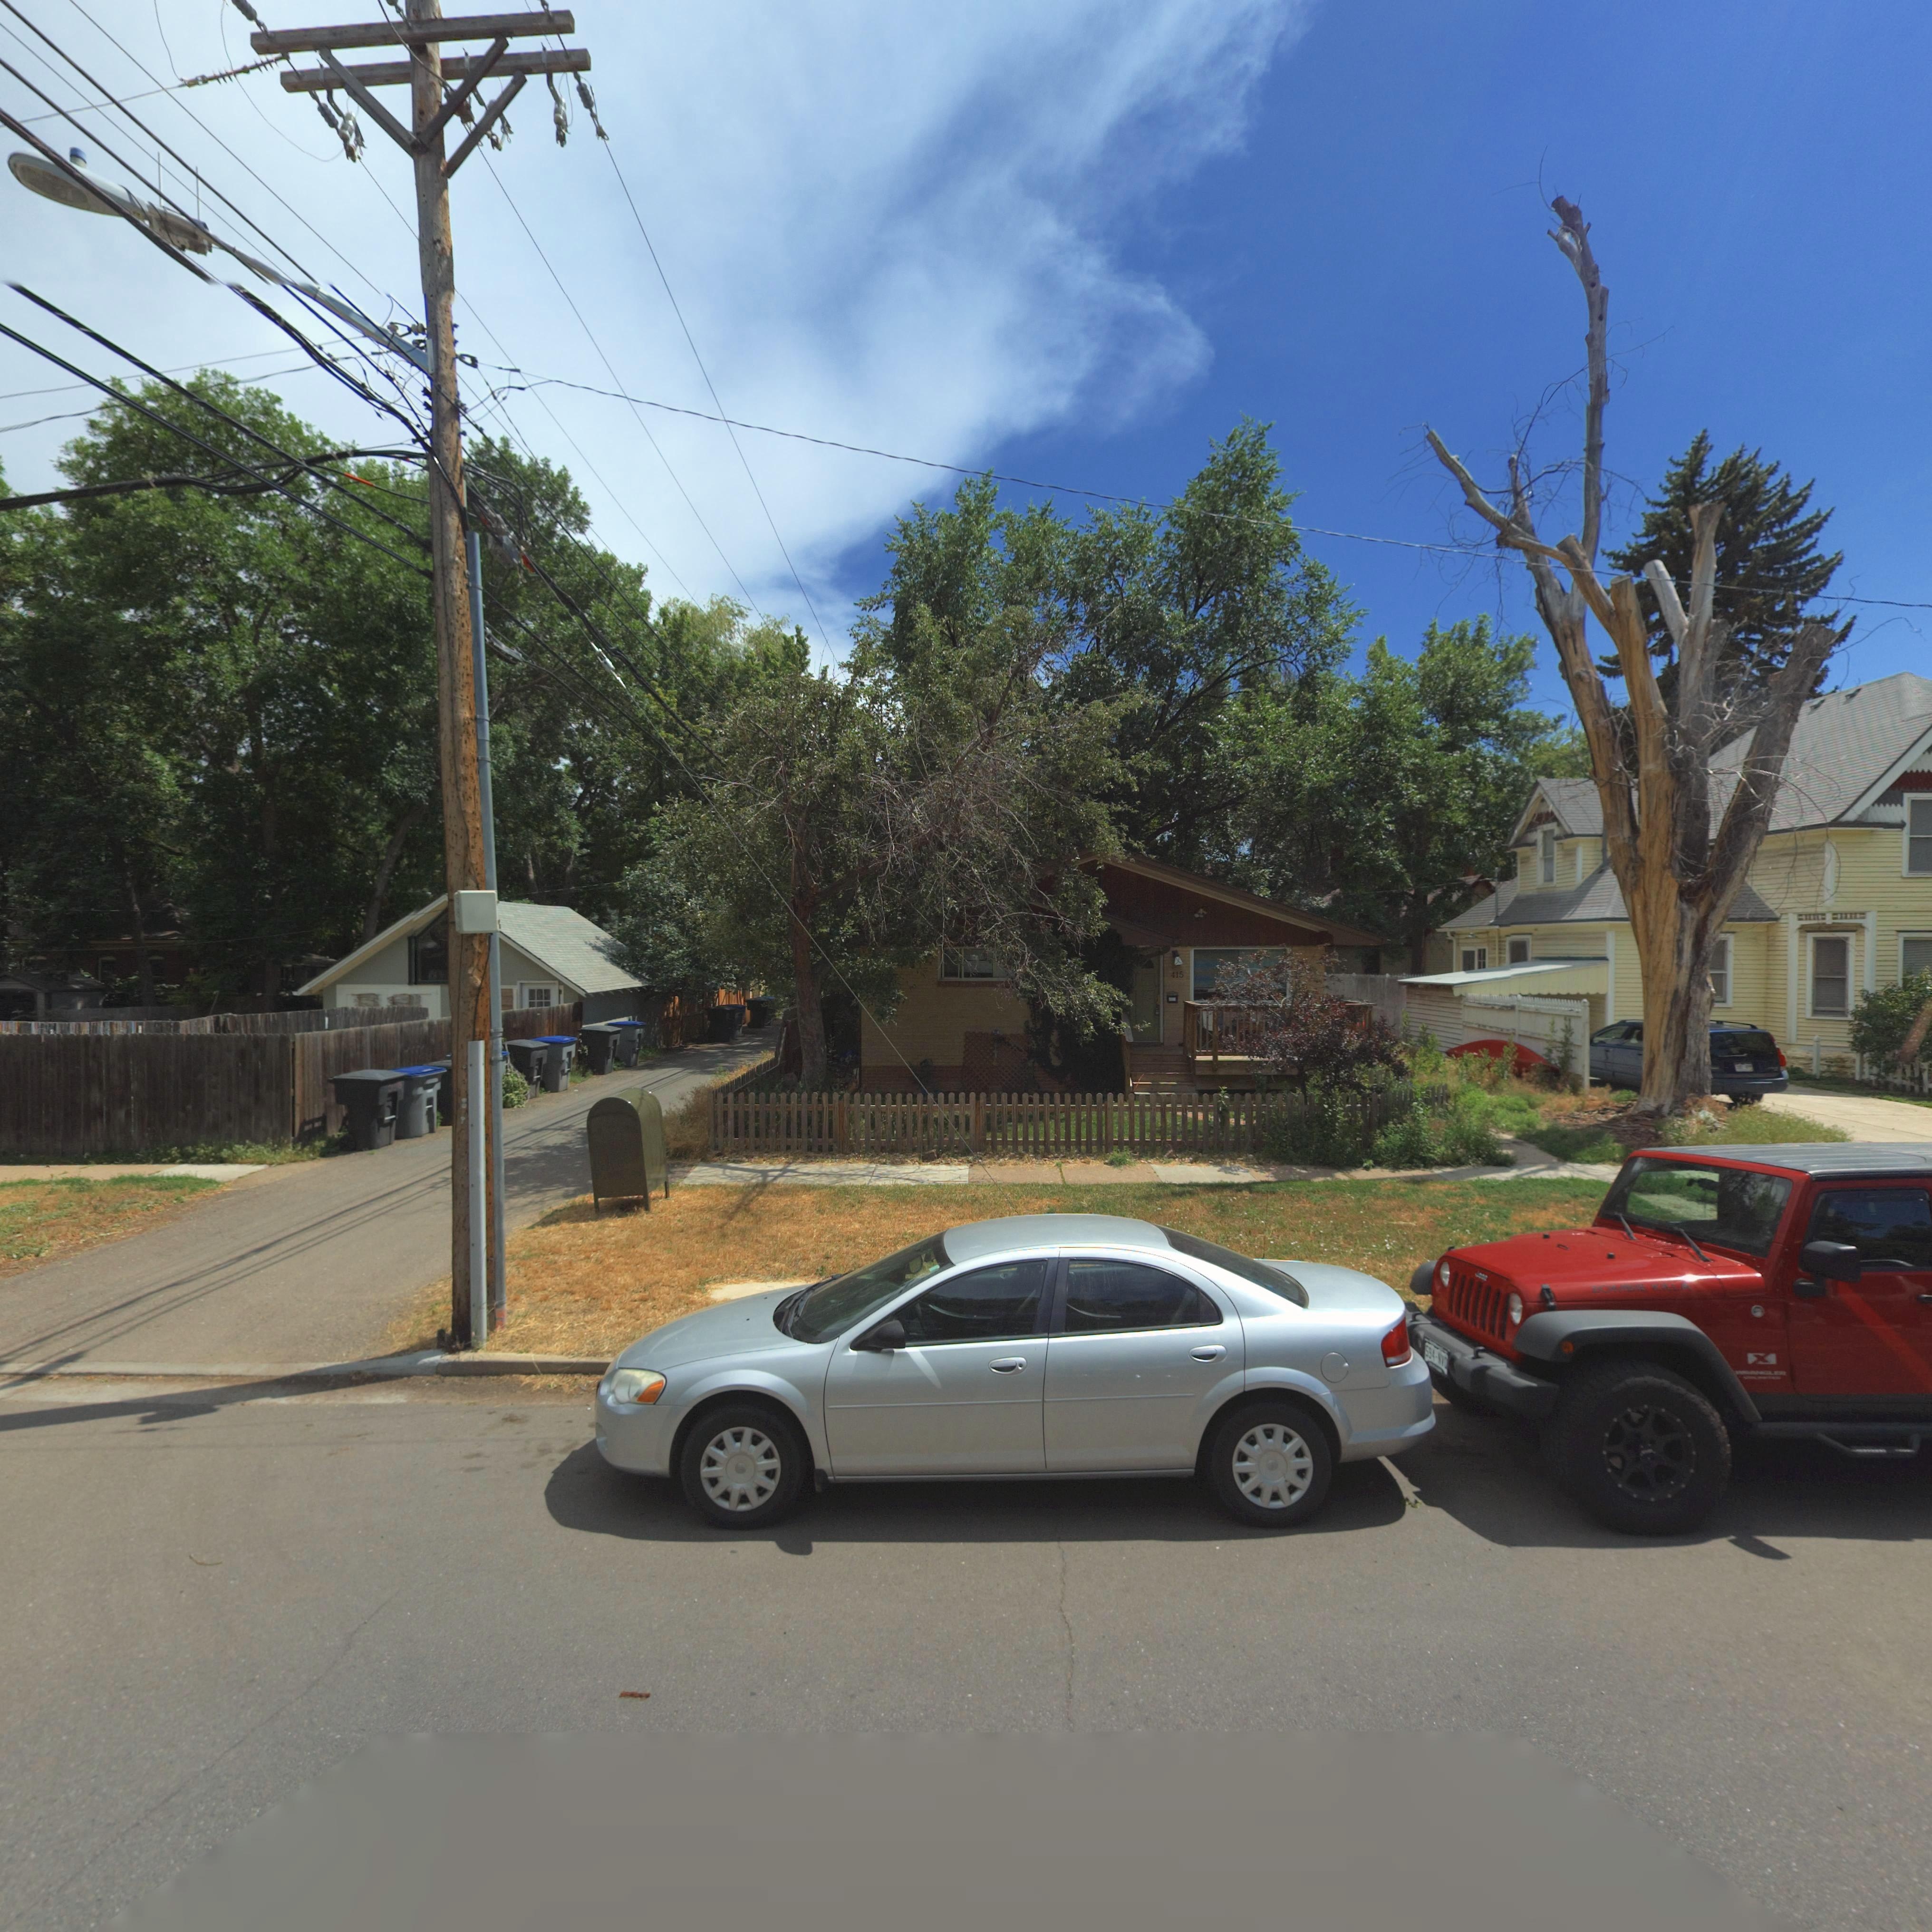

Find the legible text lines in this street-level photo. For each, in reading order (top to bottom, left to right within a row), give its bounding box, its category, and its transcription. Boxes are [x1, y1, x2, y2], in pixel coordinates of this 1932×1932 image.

[1170, 971, 1184, 978] StreetNumber: 415